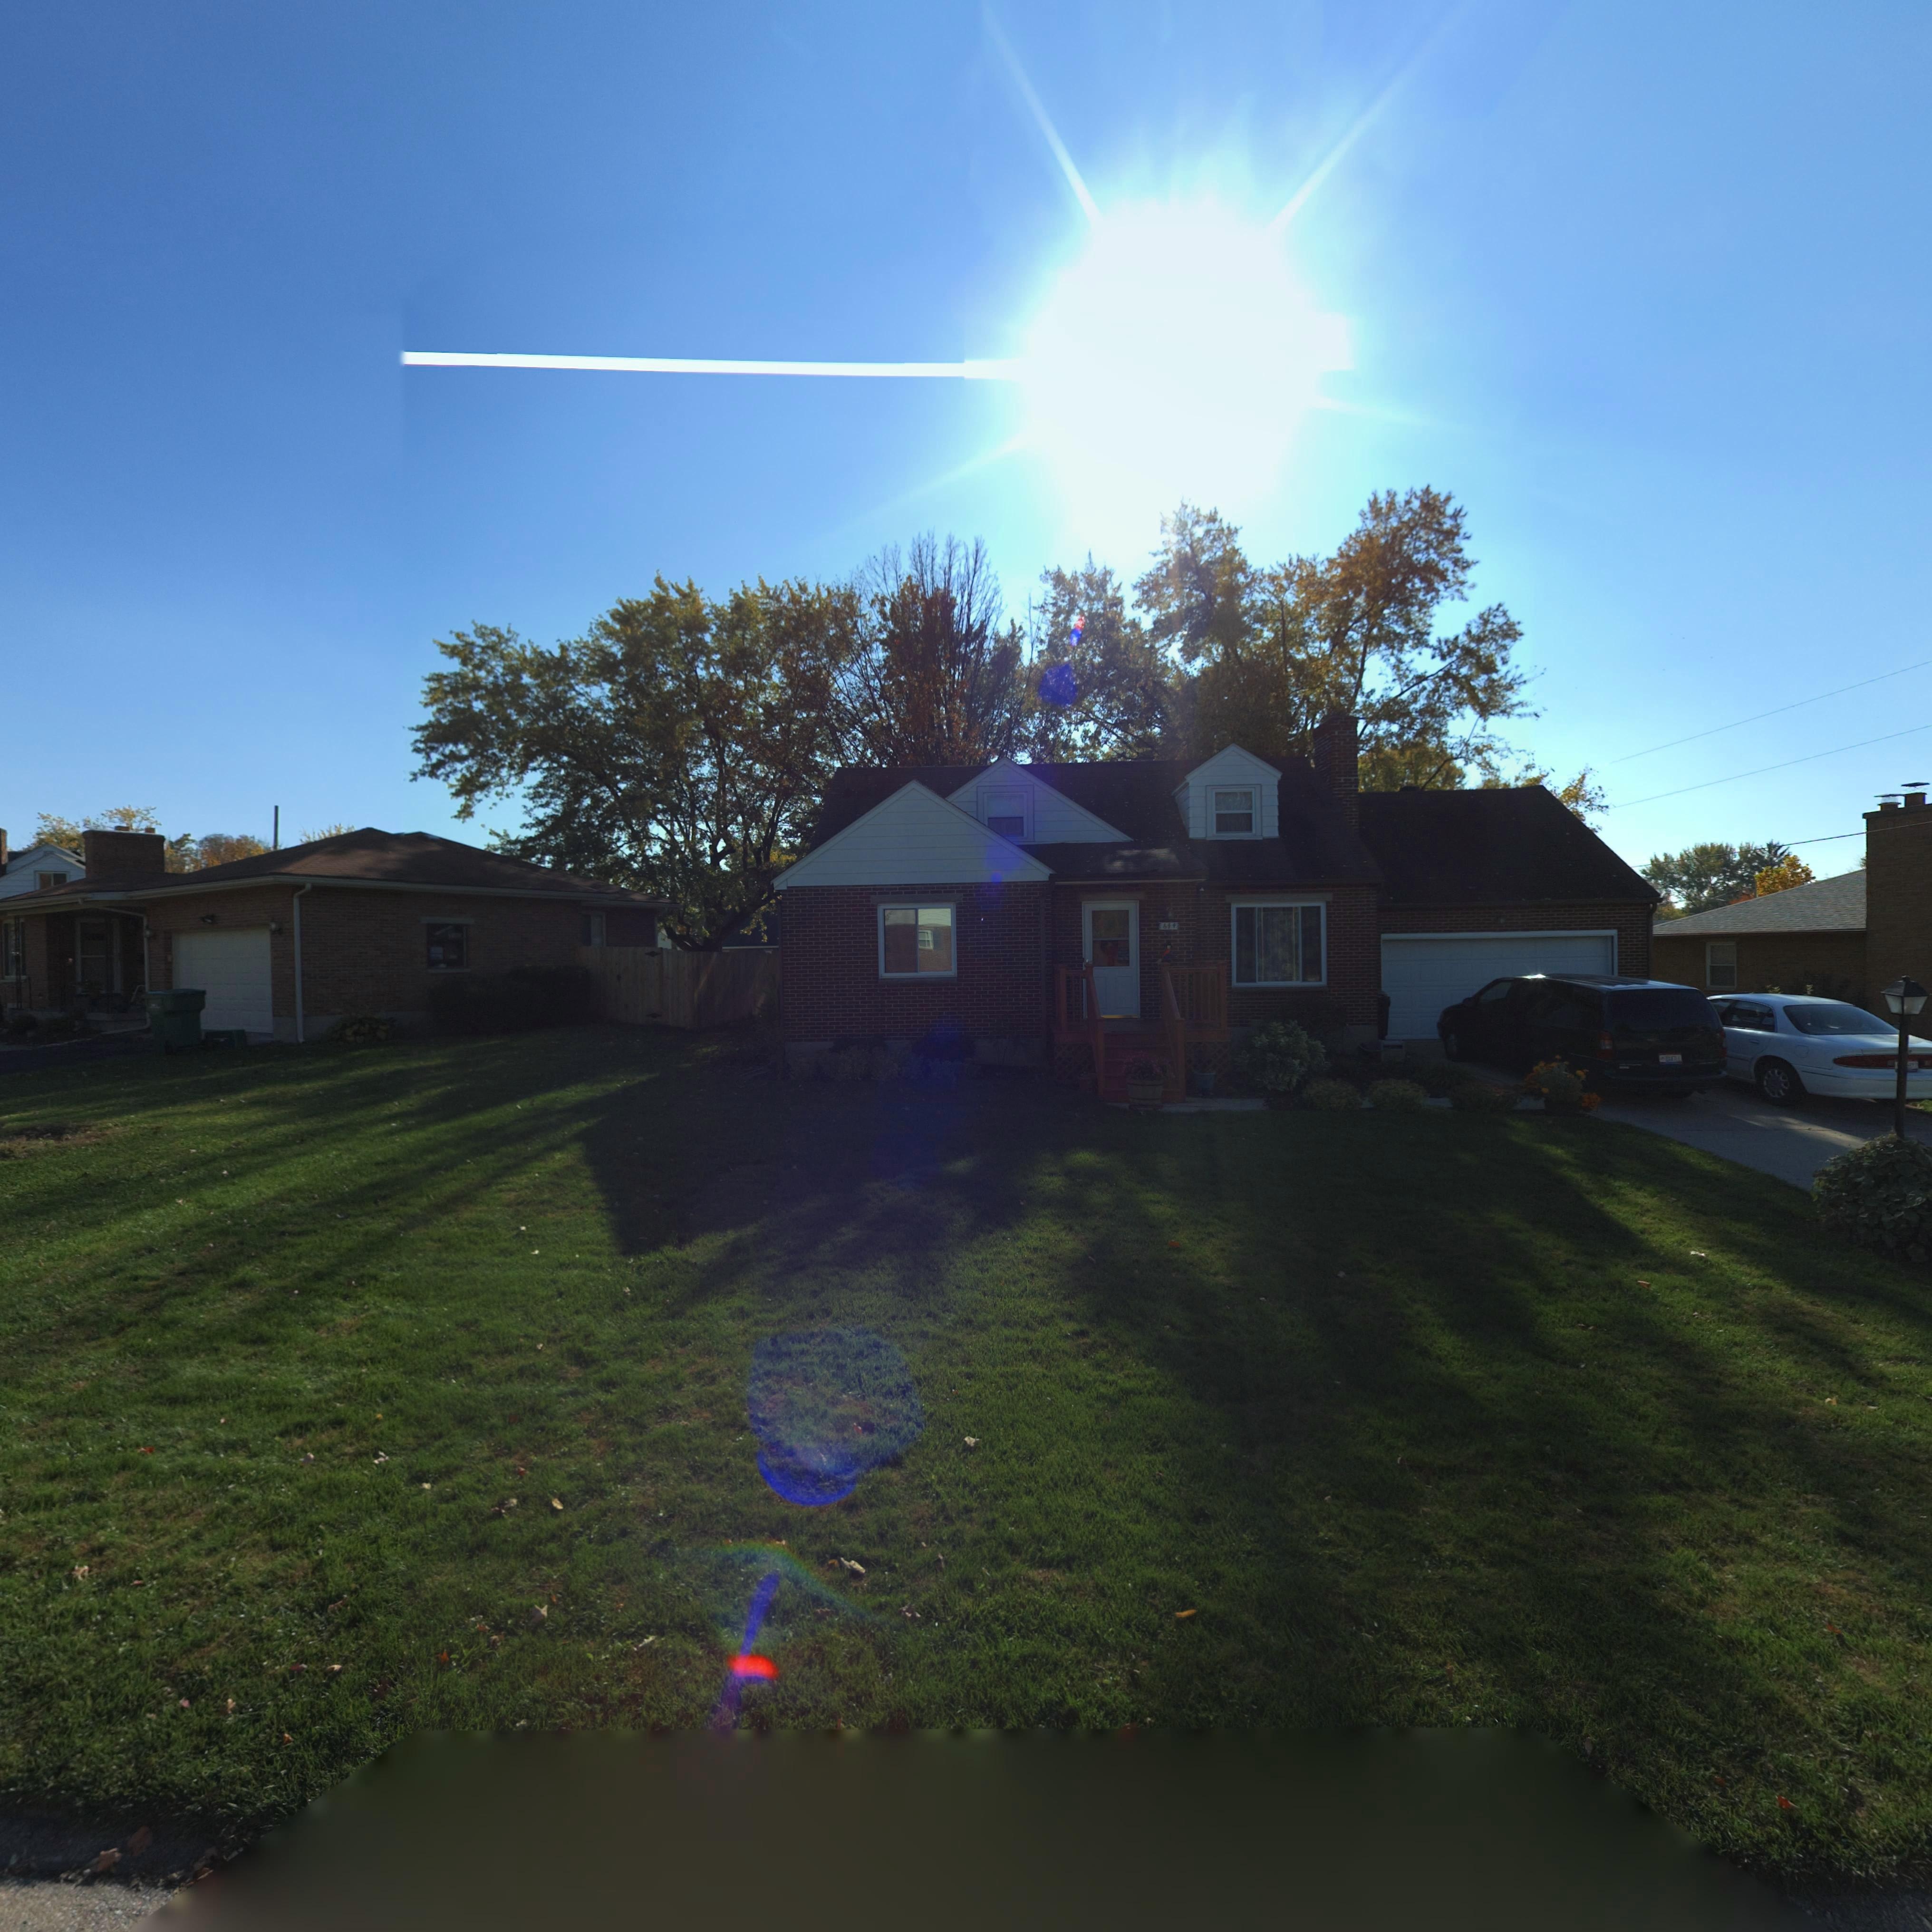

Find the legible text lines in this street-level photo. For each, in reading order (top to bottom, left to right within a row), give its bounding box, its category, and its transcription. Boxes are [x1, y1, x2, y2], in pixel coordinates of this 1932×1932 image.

[1162, 922, 1177, 929] StreetNumber: 644